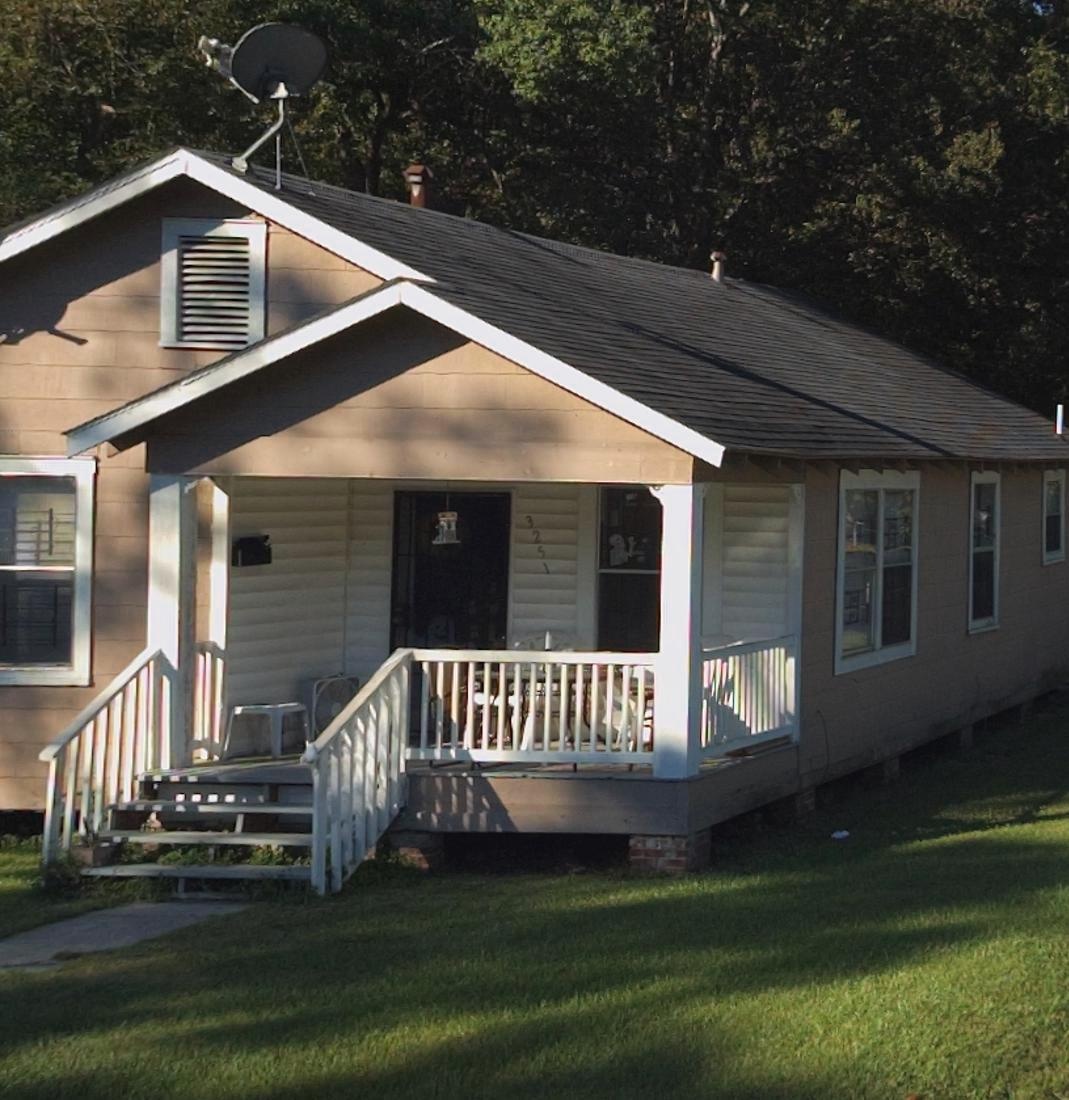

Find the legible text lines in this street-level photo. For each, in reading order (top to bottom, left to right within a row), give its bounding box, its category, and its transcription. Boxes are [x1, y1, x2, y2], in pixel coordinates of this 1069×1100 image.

[521, 512, 554, 577] StreetNumber: 3251